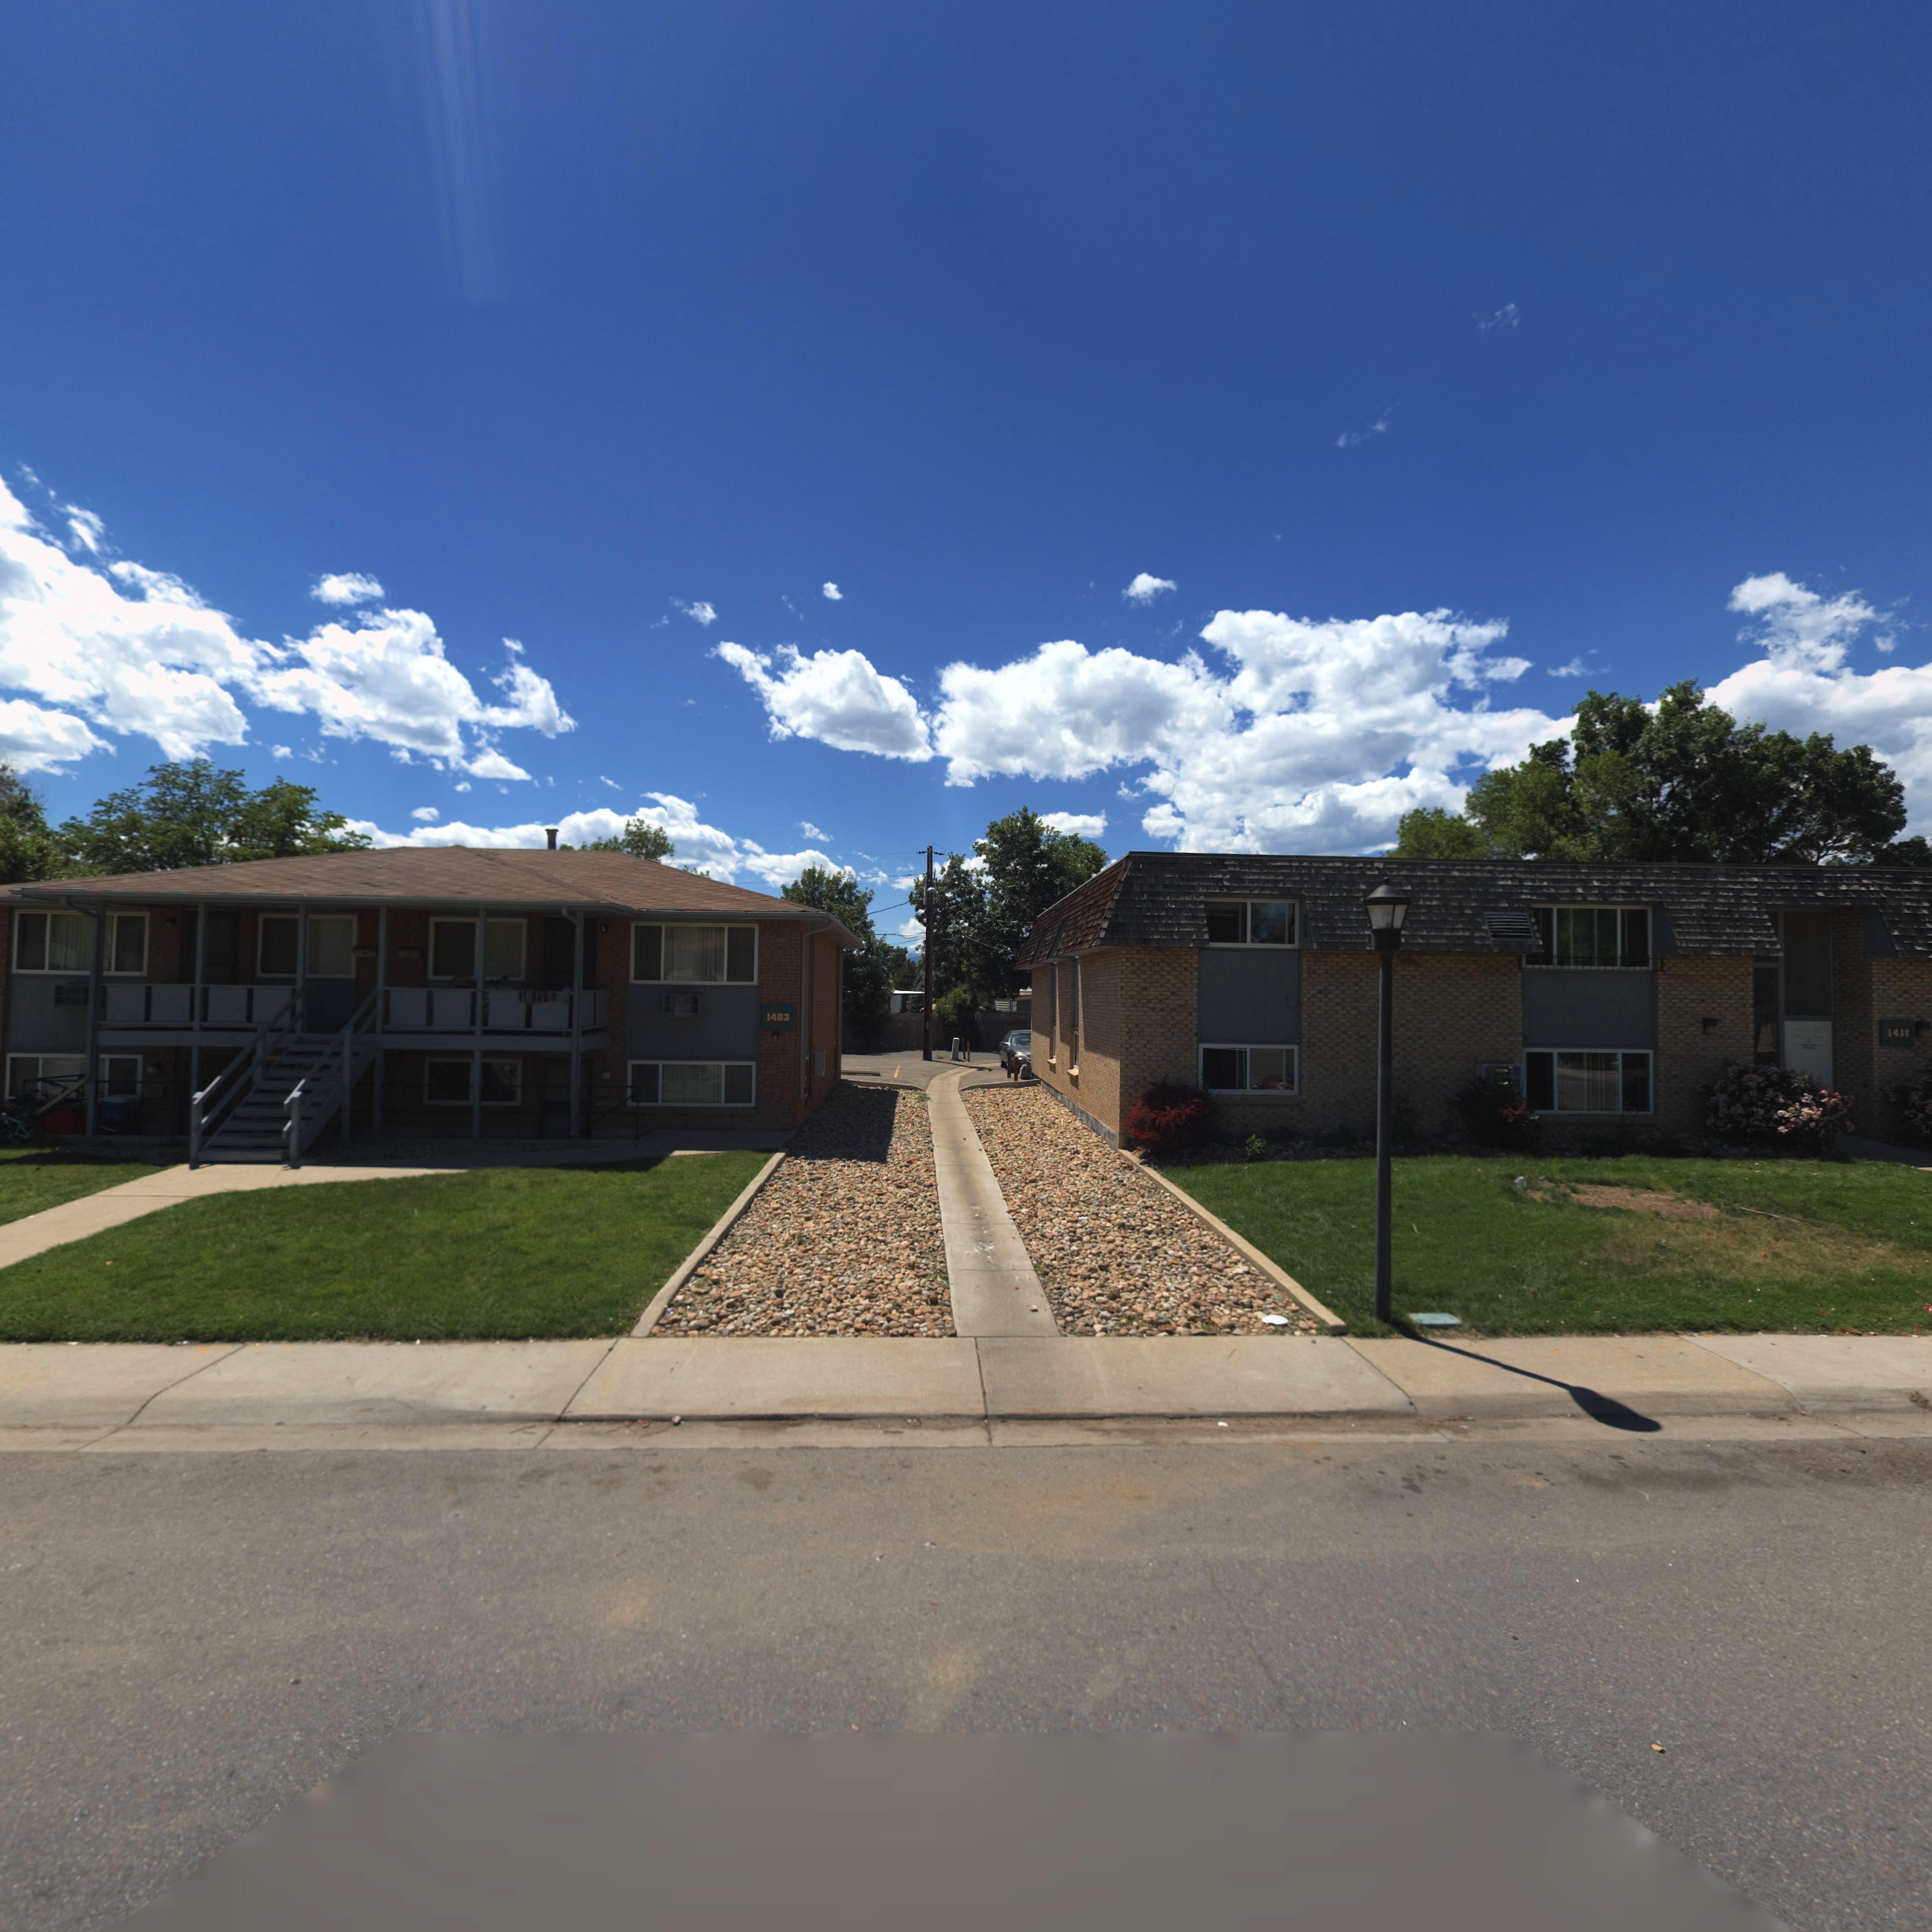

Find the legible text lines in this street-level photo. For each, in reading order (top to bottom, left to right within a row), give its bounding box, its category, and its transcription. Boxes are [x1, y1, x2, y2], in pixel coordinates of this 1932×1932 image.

[766, 1013, 790, 1021] StreetNumber: 1403
[1888, 1028, 1909, 1037] StreetNumber: 1411